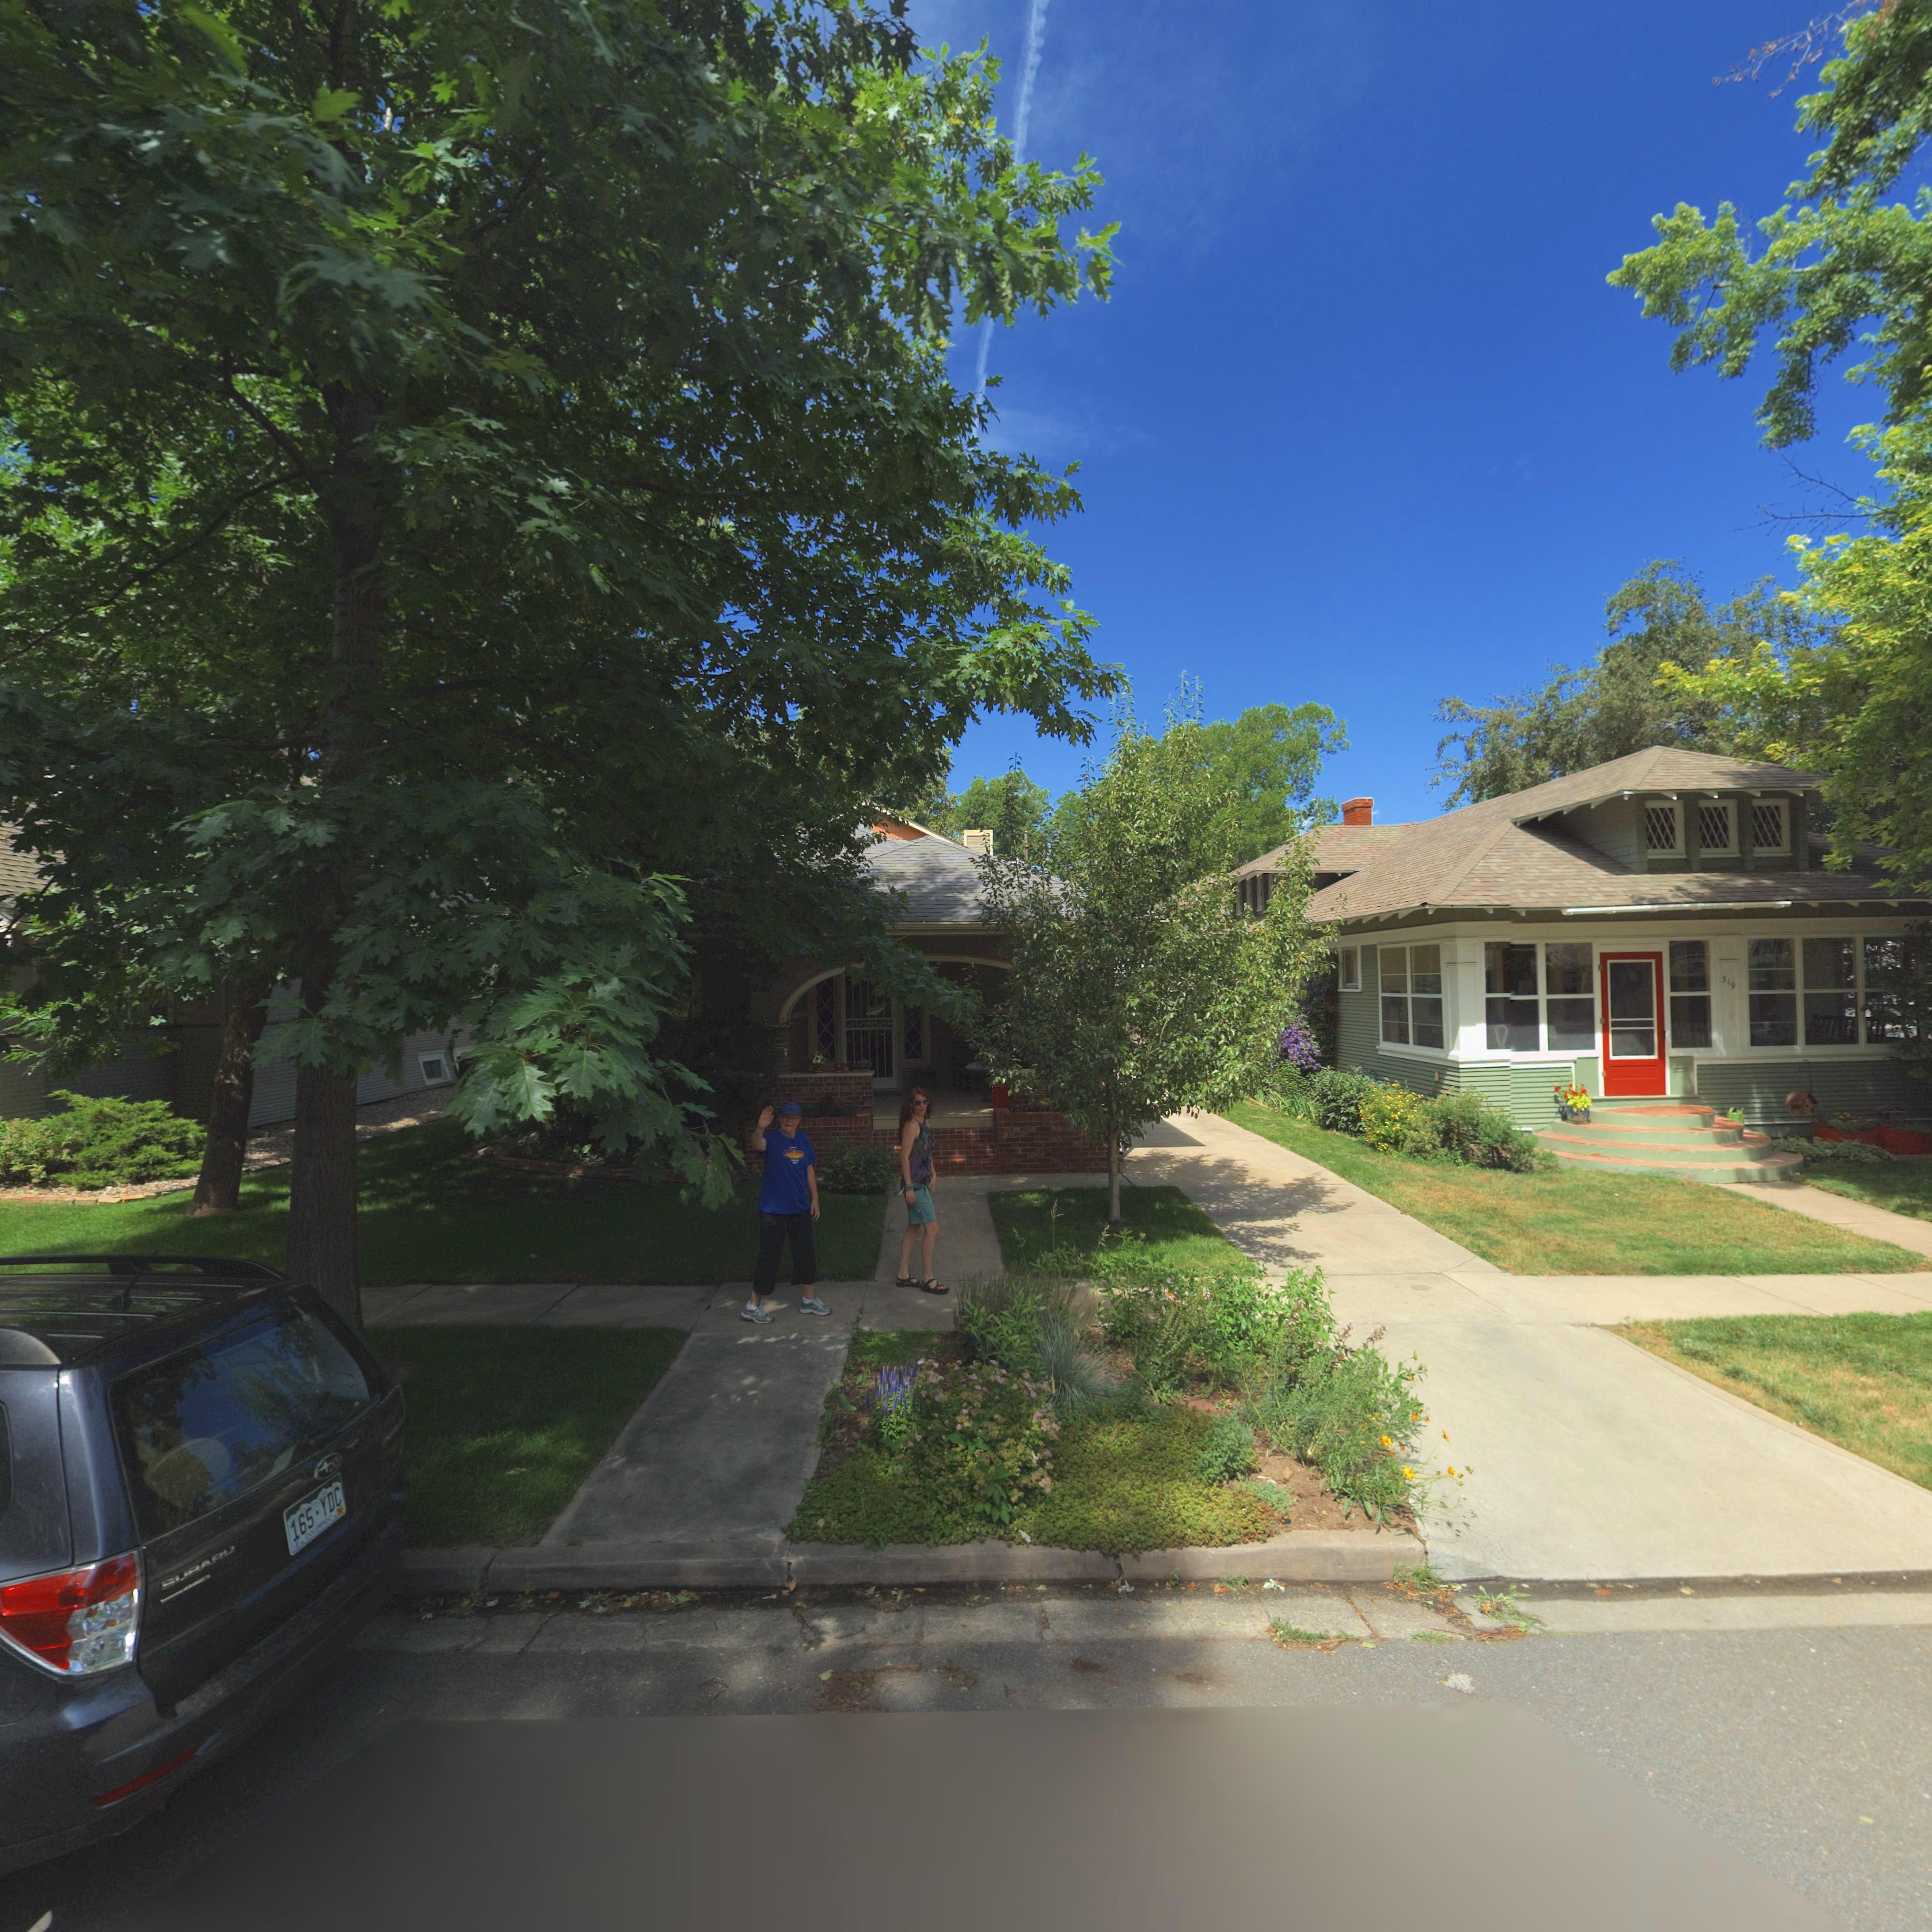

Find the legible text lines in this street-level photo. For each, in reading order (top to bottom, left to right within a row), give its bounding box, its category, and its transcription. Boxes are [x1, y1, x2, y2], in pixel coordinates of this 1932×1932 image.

[1722, 976, 1735, 989] StreetNumber: 319